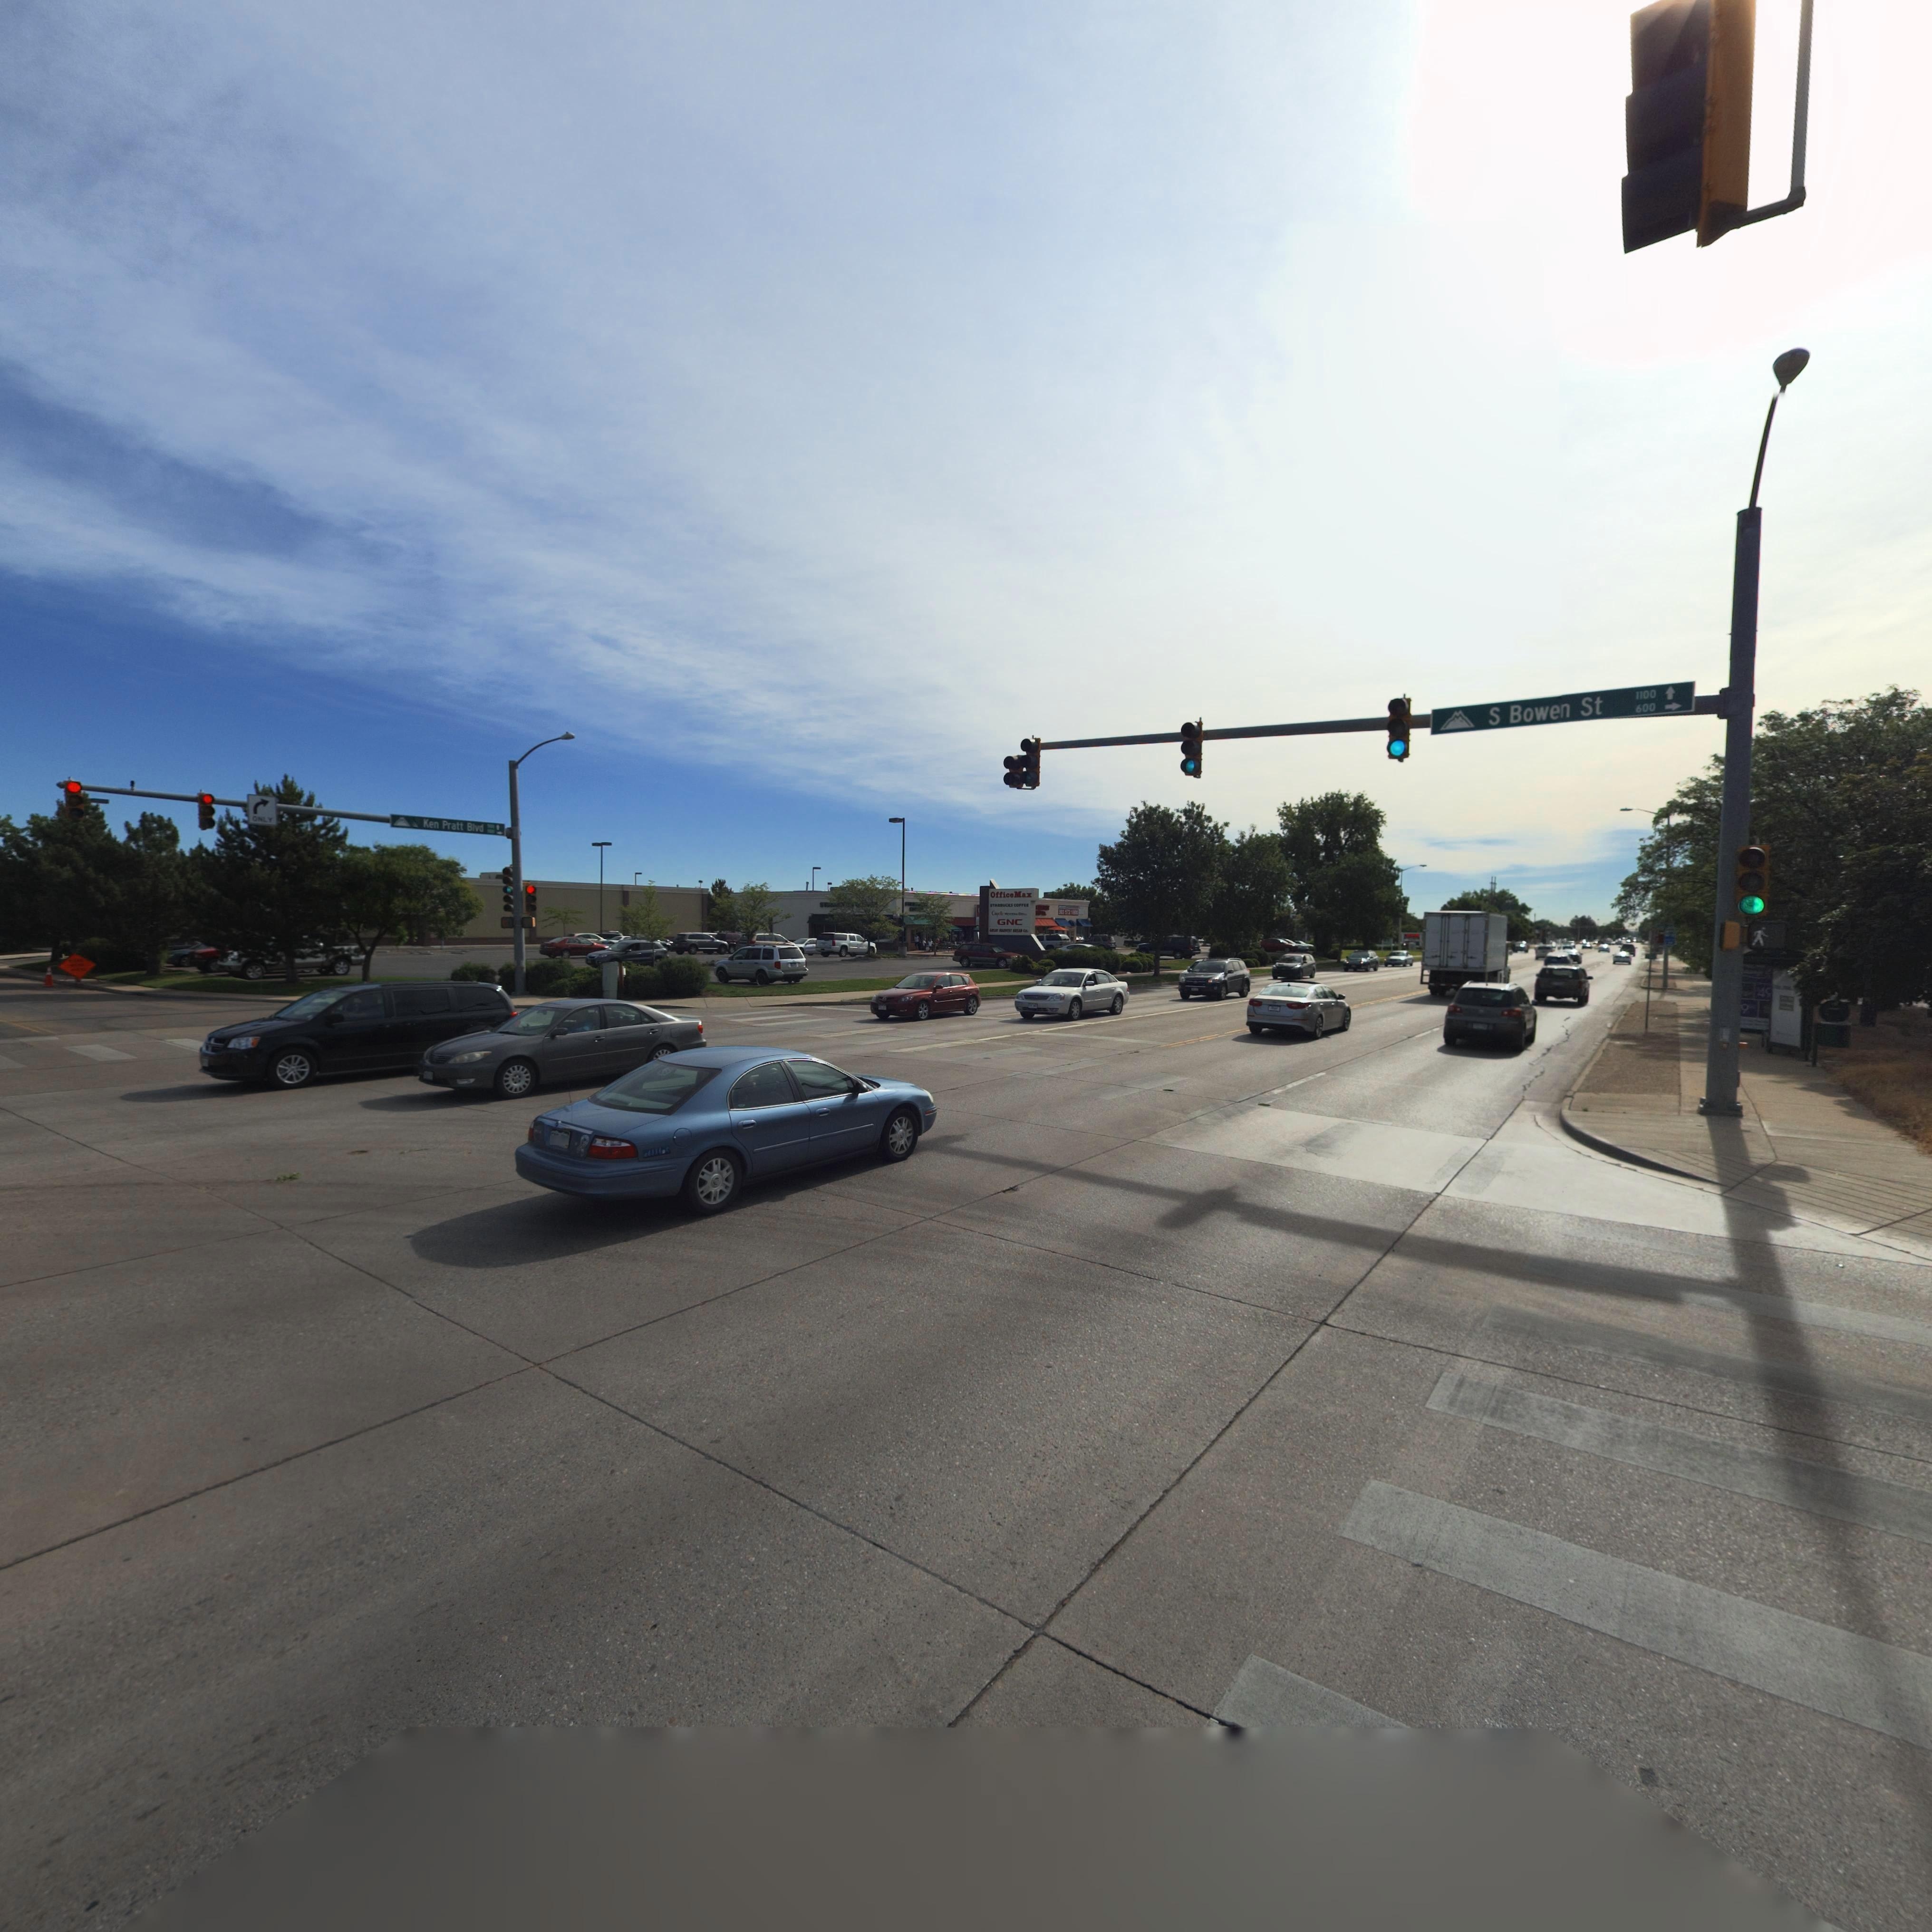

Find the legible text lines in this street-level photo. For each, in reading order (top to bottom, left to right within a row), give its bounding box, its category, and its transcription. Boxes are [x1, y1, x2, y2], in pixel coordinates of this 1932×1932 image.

[1635, 688, 1657, 700] StreetNumberRange: 1100
[1635, 700, 1683, 713] StreetNumberRange: 600->
[1488, 695, 1604, 726] StreetName: S Bowen St
[423, 818, 484, 832] StreetName: Ken Pratt Blvd
[486, 823, 495, 828] StreetNumberRange: *00
[486, 829, 503, 834] StreetNumberRange: **00->
[990, 890, 1032, 898] BusinessName: OfficeMax
[819, 901, 829, 907] BusinessName: ST
[990, 903, 1029, 907] BusinessName: STAR**CKS COFF**
[991, 909, 1028, 917] BusinessName: Chipo*** MEX**** G****
[996, 918, 1023, 926] BusinessName: GNC
[989, 927, 1029, 932] BusinessName: GRE** HA***ST **EAD CO.